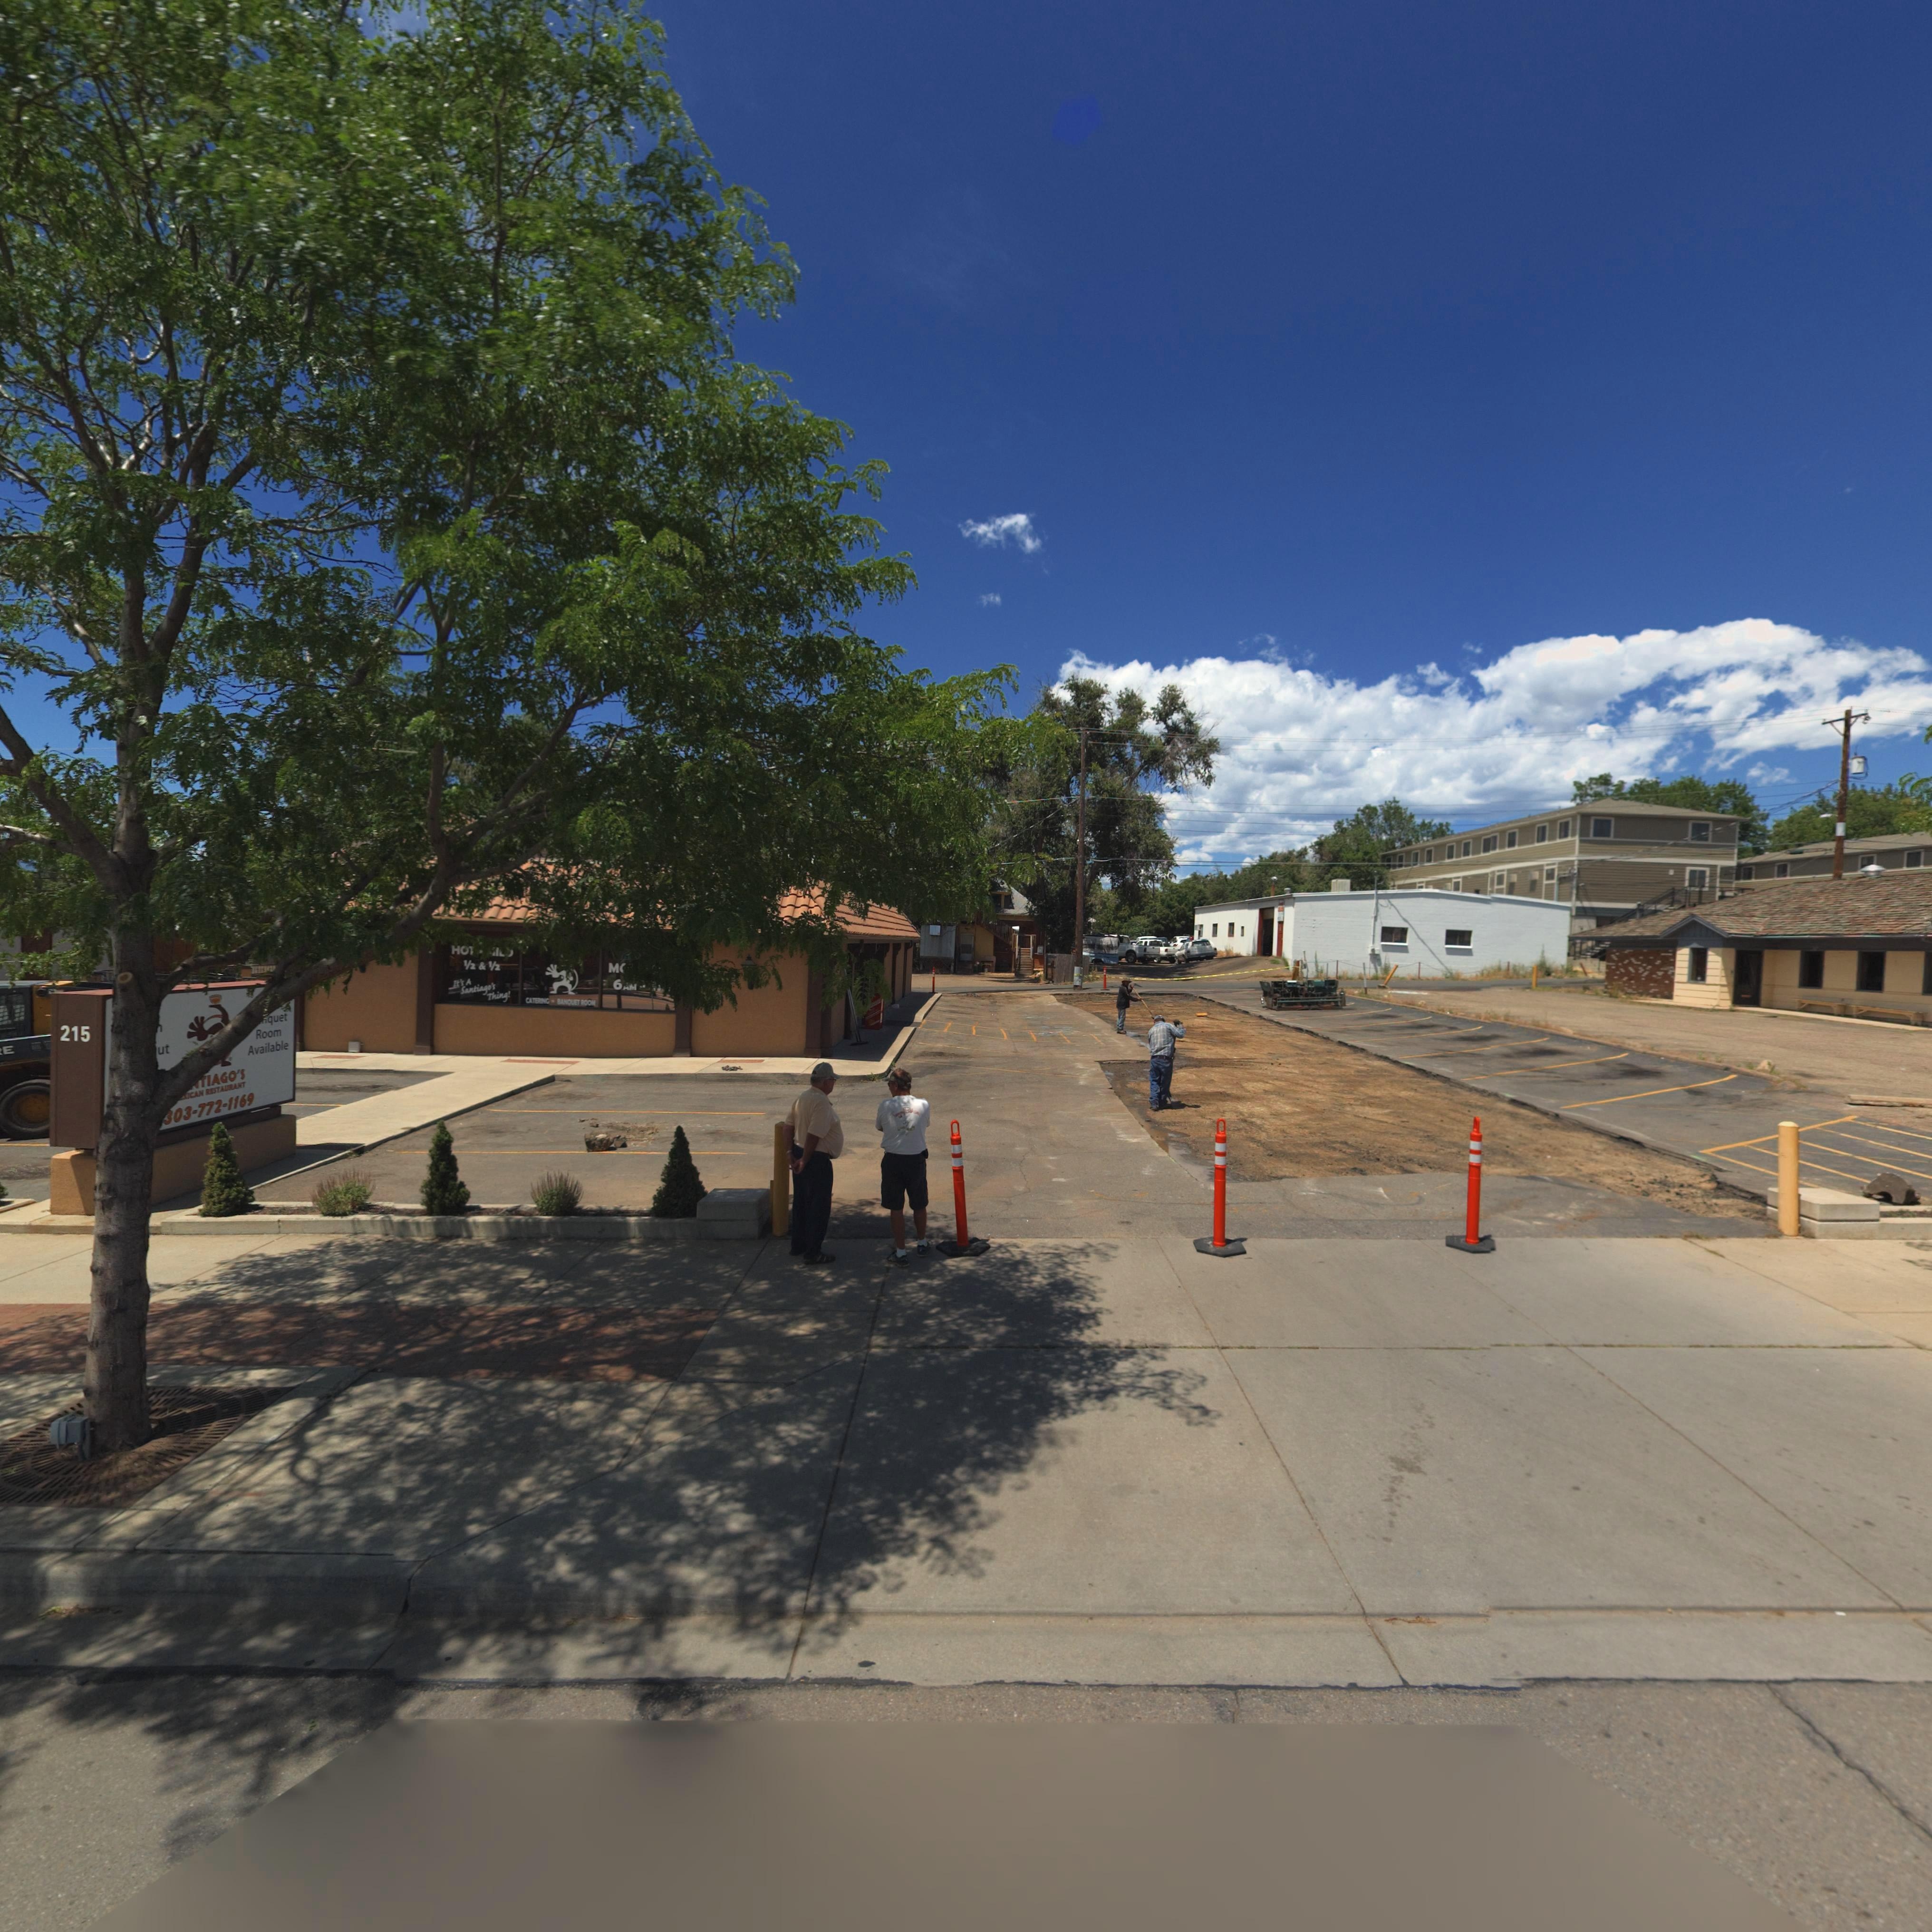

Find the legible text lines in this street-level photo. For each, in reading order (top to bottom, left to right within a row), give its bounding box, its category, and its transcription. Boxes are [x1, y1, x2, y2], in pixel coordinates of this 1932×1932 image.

[460, 982, 496, 995] BusinessName: Santiago's
[59, 1024, 92, 1043] StreetNumber: 215
[200, 1067, 247, 1088] BusinessName: TIAGO'S